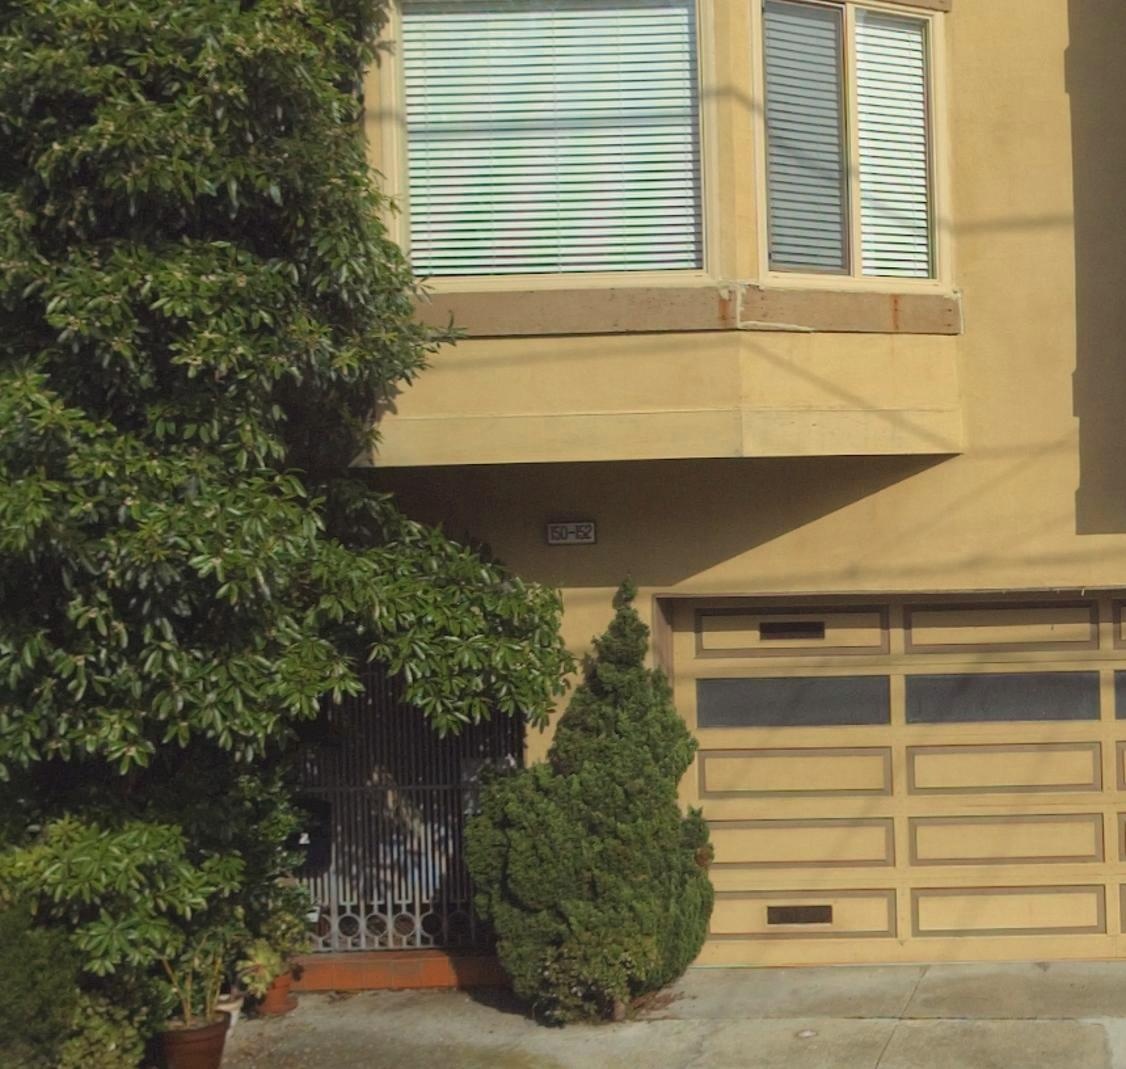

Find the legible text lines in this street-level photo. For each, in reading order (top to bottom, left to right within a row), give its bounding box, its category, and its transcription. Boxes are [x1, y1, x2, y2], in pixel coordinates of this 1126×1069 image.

[548, 524, 569, 541] StreetNumber: 150
[574, 522, 594, 540] StreetNumber: 152